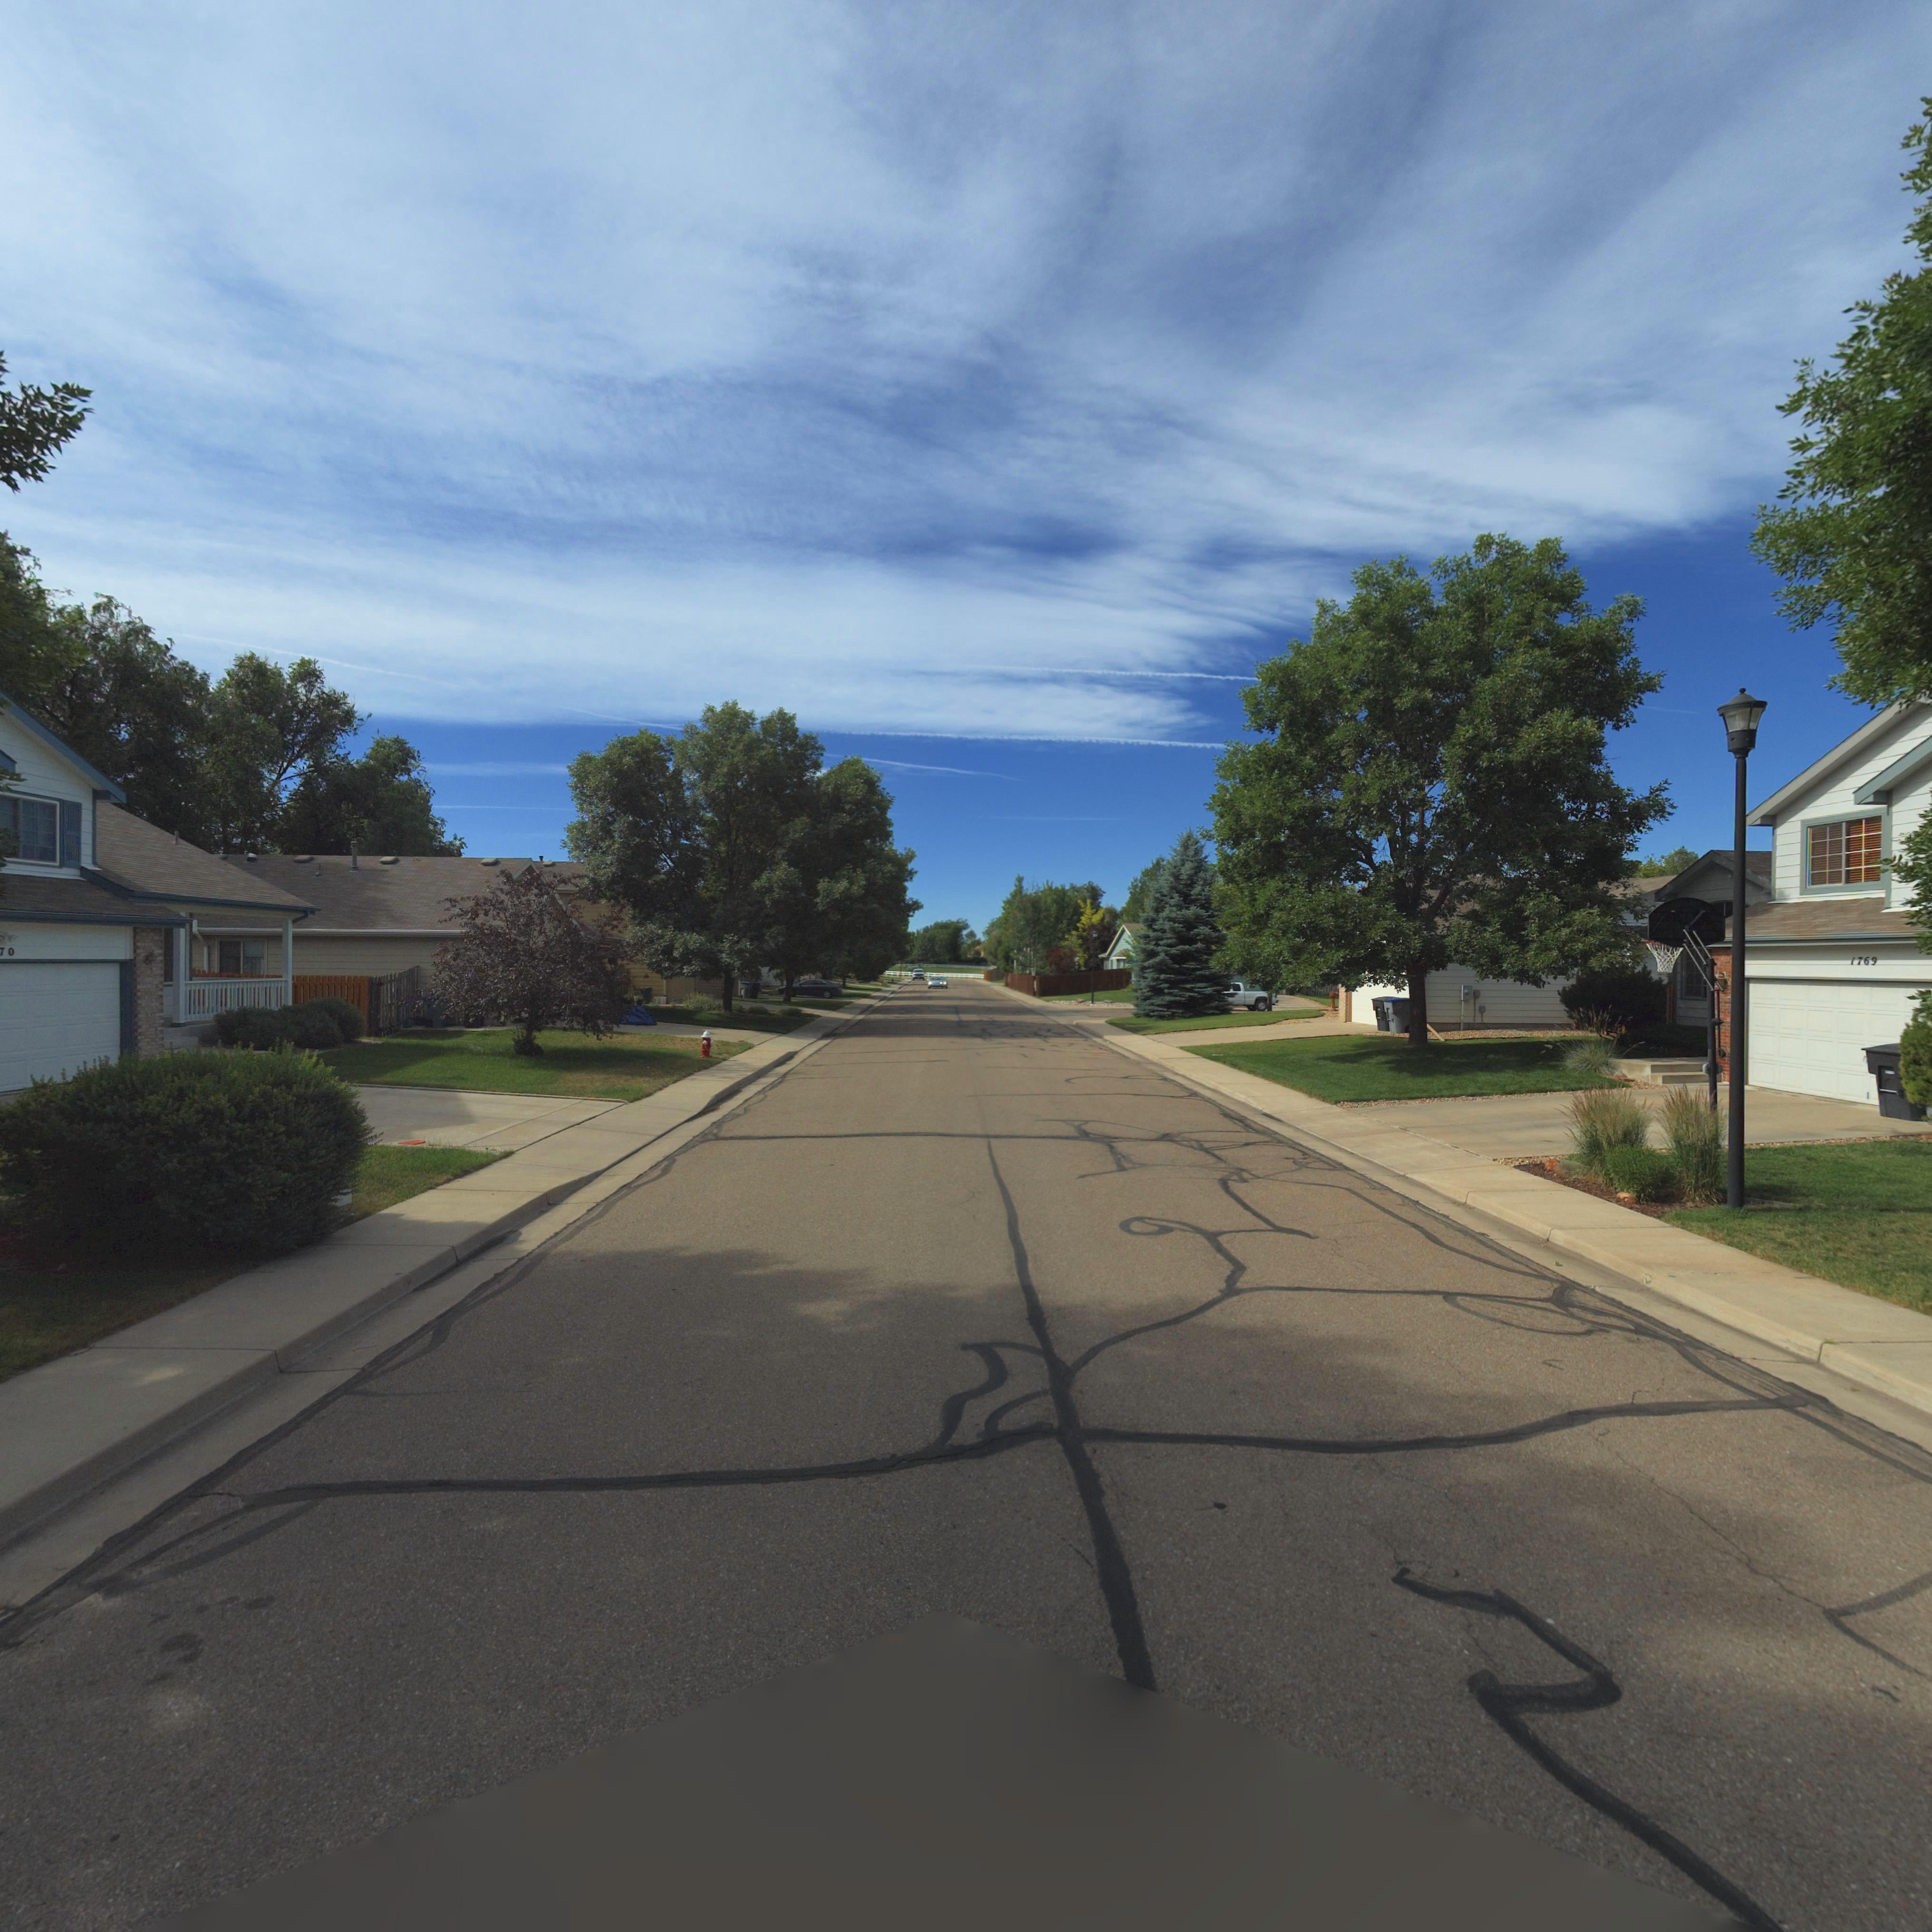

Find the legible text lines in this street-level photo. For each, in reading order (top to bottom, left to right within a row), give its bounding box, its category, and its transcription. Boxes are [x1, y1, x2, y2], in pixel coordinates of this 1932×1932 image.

[8, 947, 14, 956] StreetNumber: 0
[1849, 956, 1877, 966] StreetNumber: 1769